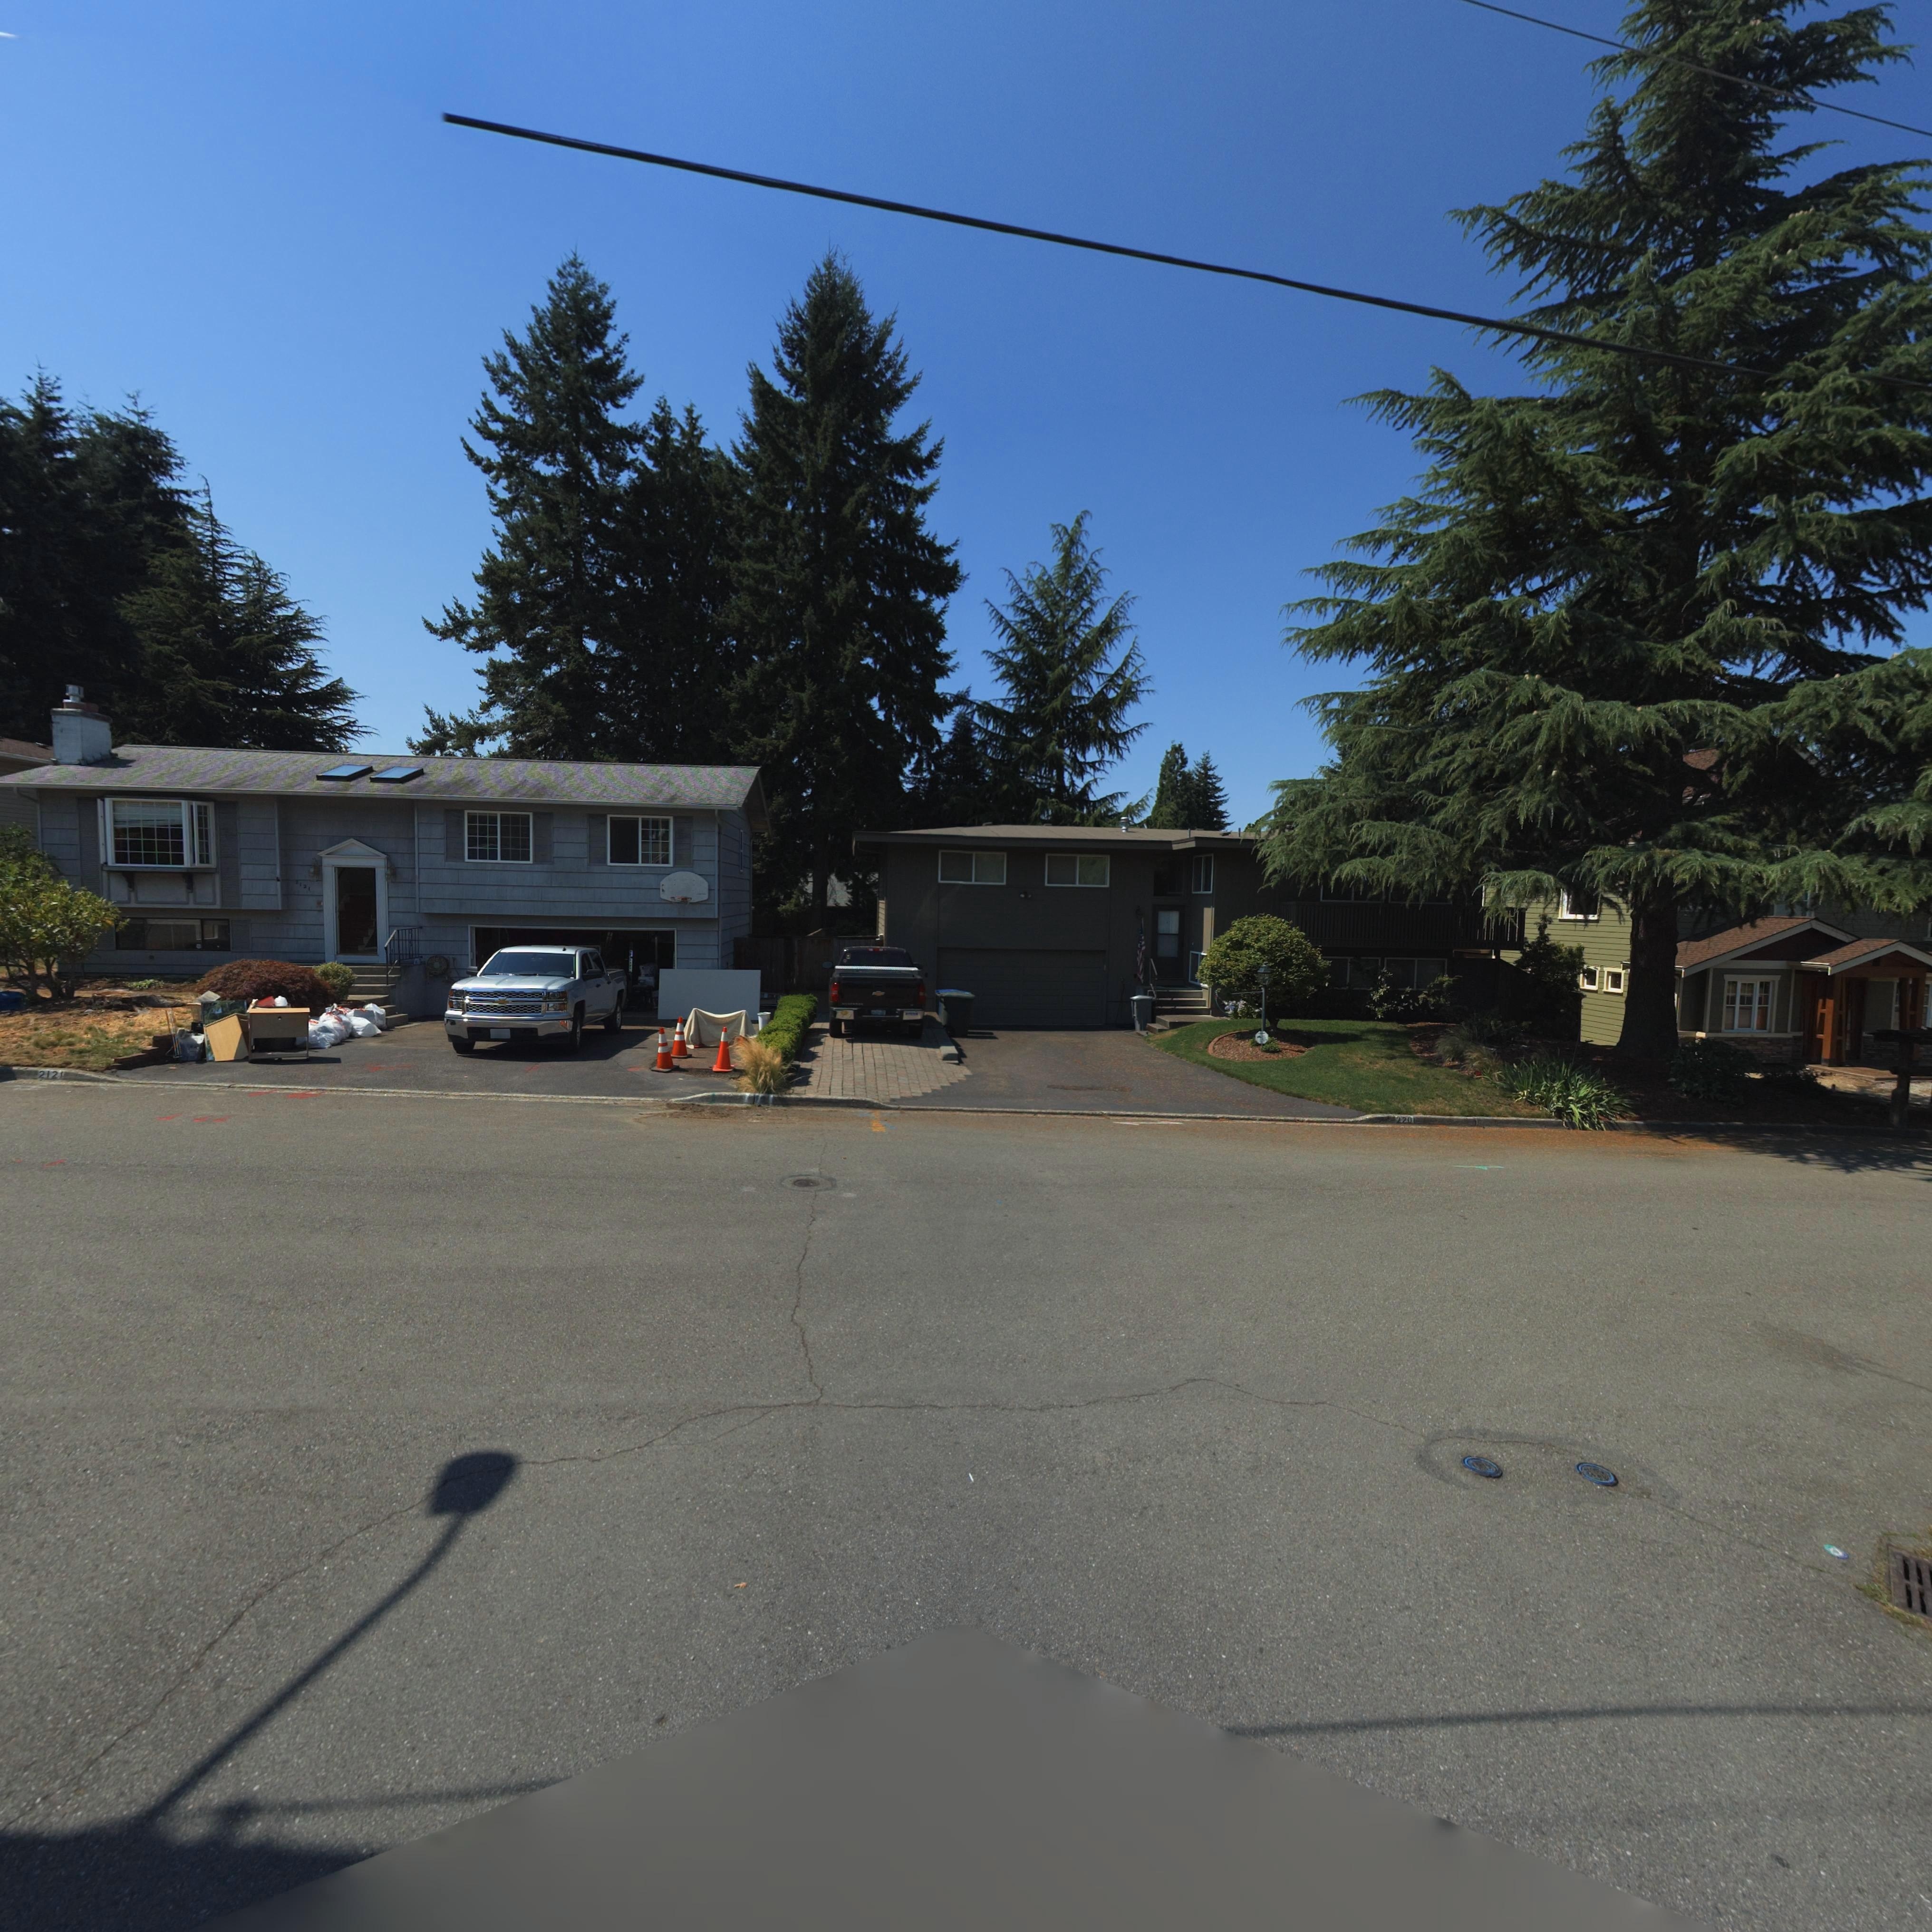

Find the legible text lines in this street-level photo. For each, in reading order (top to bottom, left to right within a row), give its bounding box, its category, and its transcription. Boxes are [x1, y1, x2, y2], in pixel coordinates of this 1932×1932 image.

[37, 1067, 65, 1081] StreetNumber: 2121
[1393, 1115, 1415, 1125] StreetName: 2201